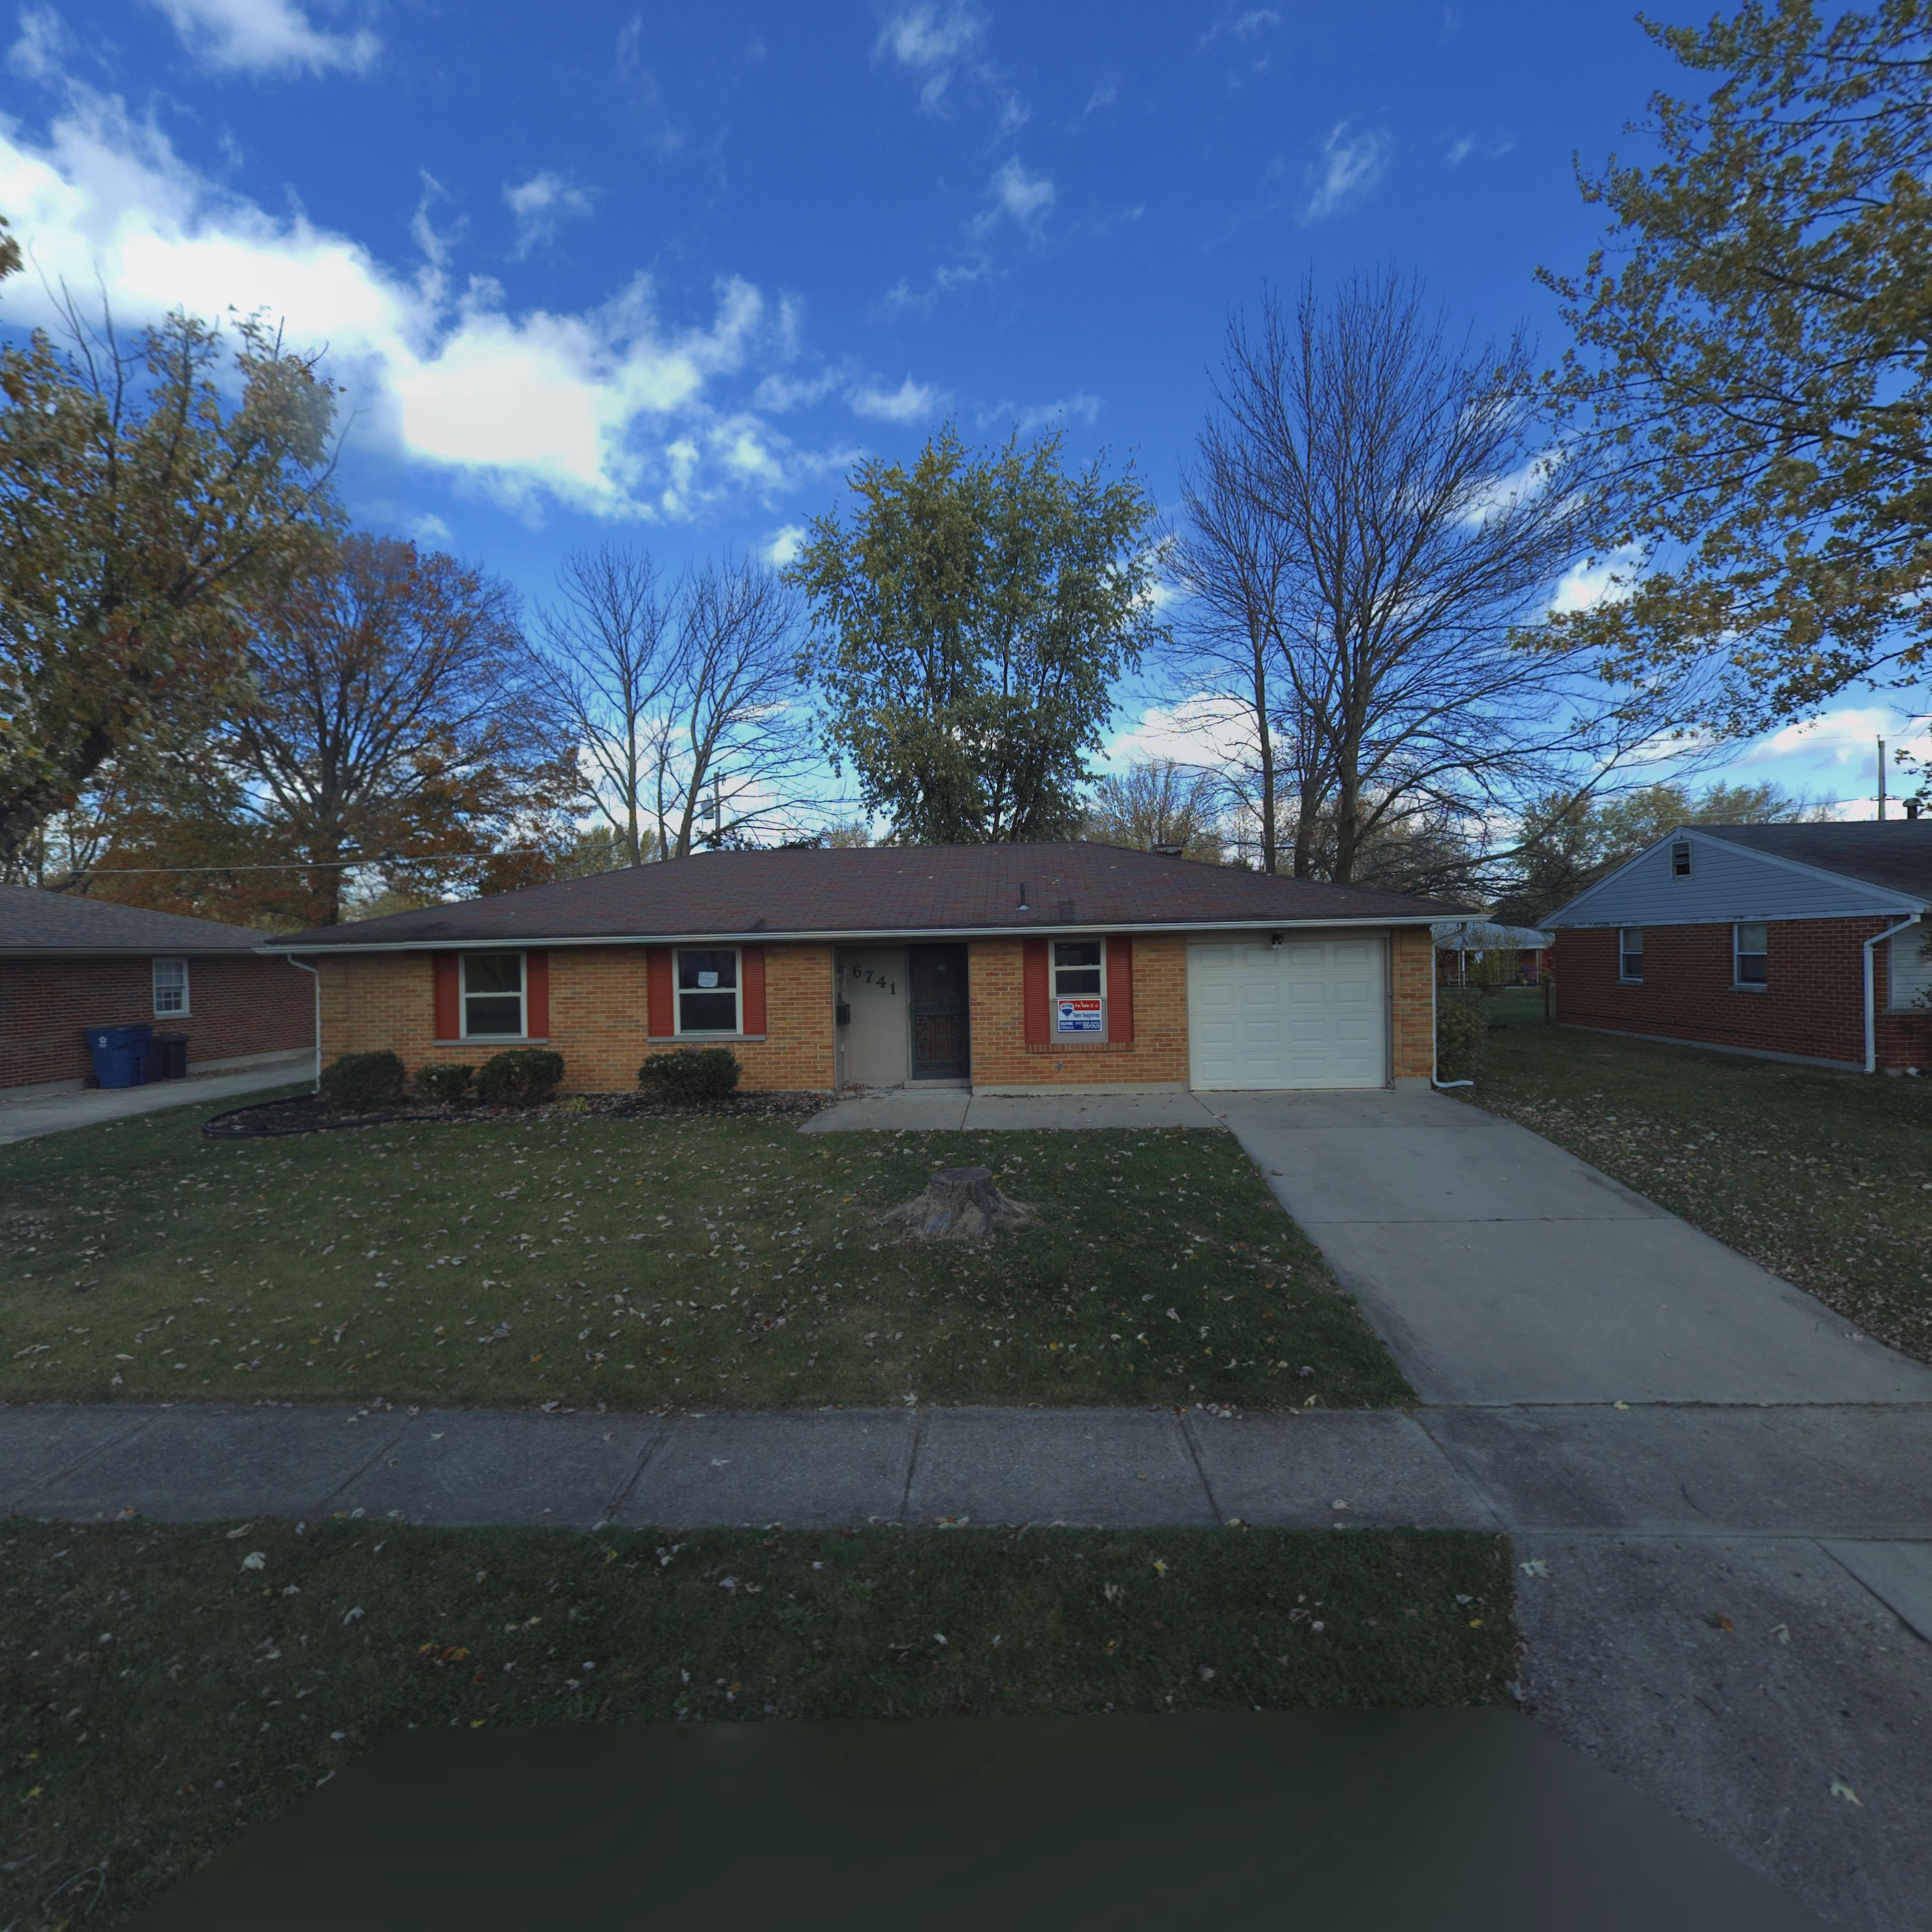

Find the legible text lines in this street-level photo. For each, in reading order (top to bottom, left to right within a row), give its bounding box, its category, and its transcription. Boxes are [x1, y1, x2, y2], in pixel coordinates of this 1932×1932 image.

[852, 964, 896, 995] StreetNumber: 6741